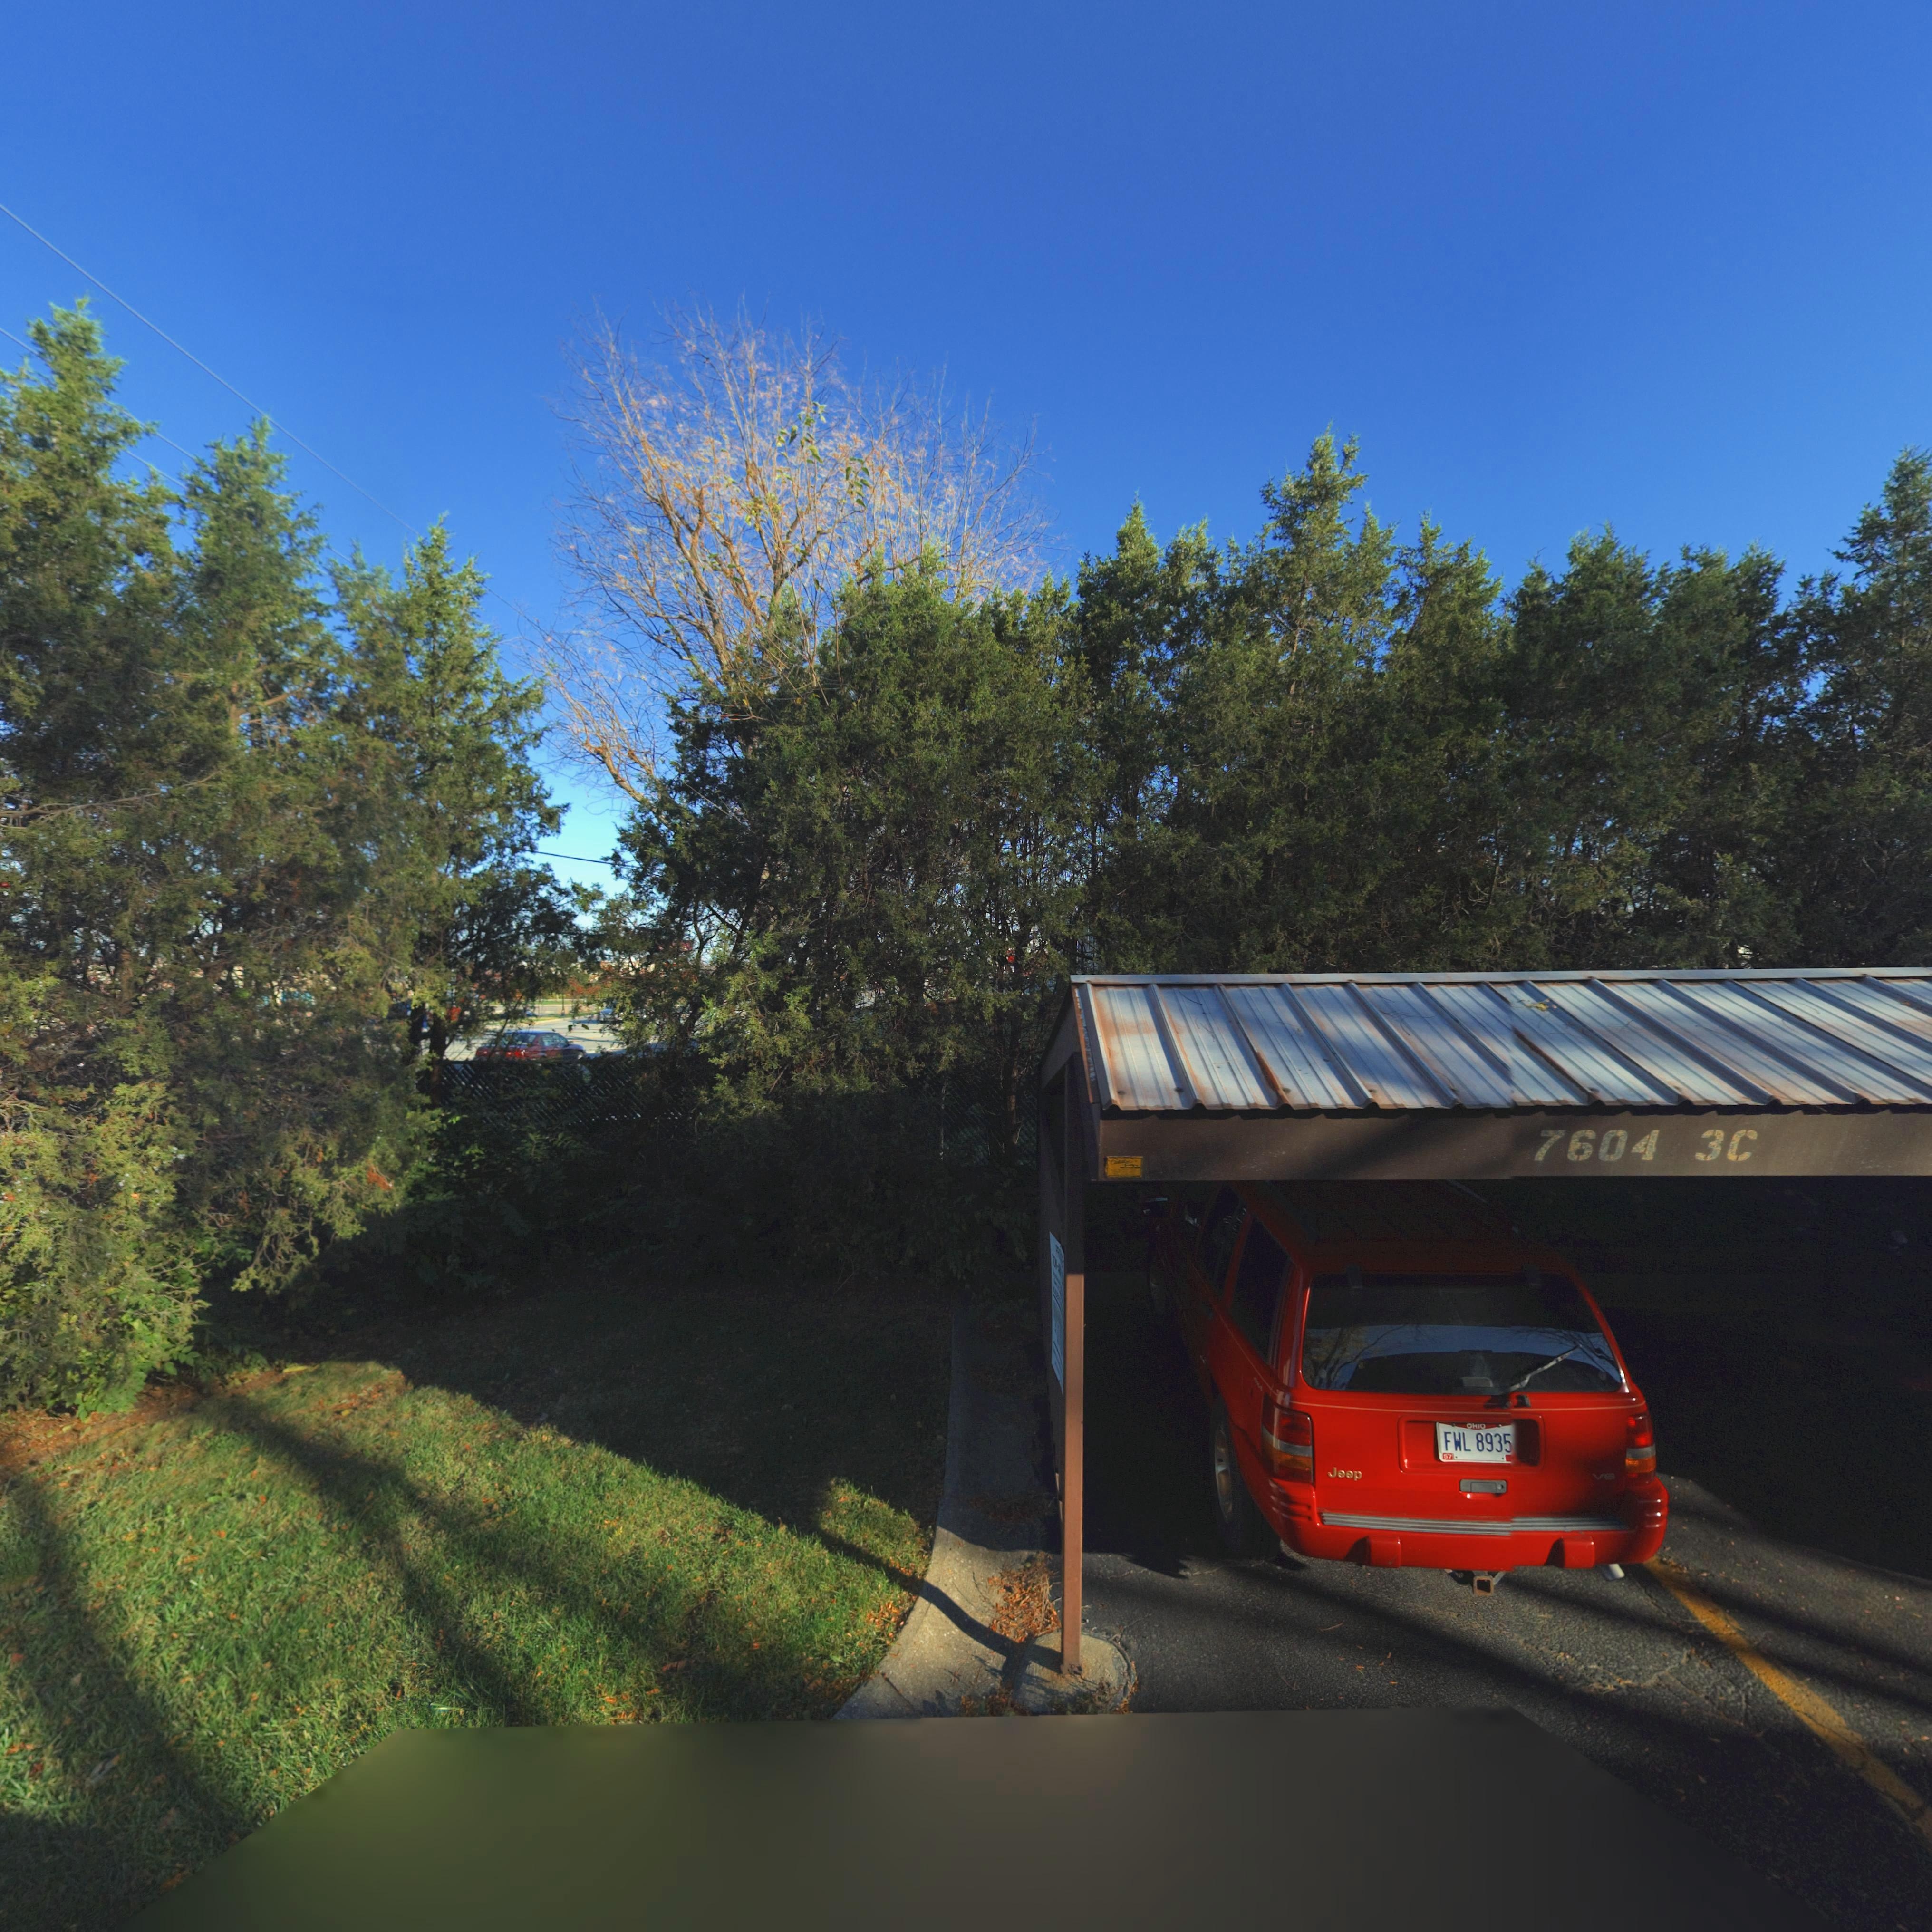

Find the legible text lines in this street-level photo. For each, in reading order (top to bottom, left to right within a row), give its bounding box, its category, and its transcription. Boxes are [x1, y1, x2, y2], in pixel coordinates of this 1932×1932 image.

[1532, 1127, 1662, 1164] StreetNumber: 7604
[1693, 1128, 1761, 1165] StreetNumber: 3C